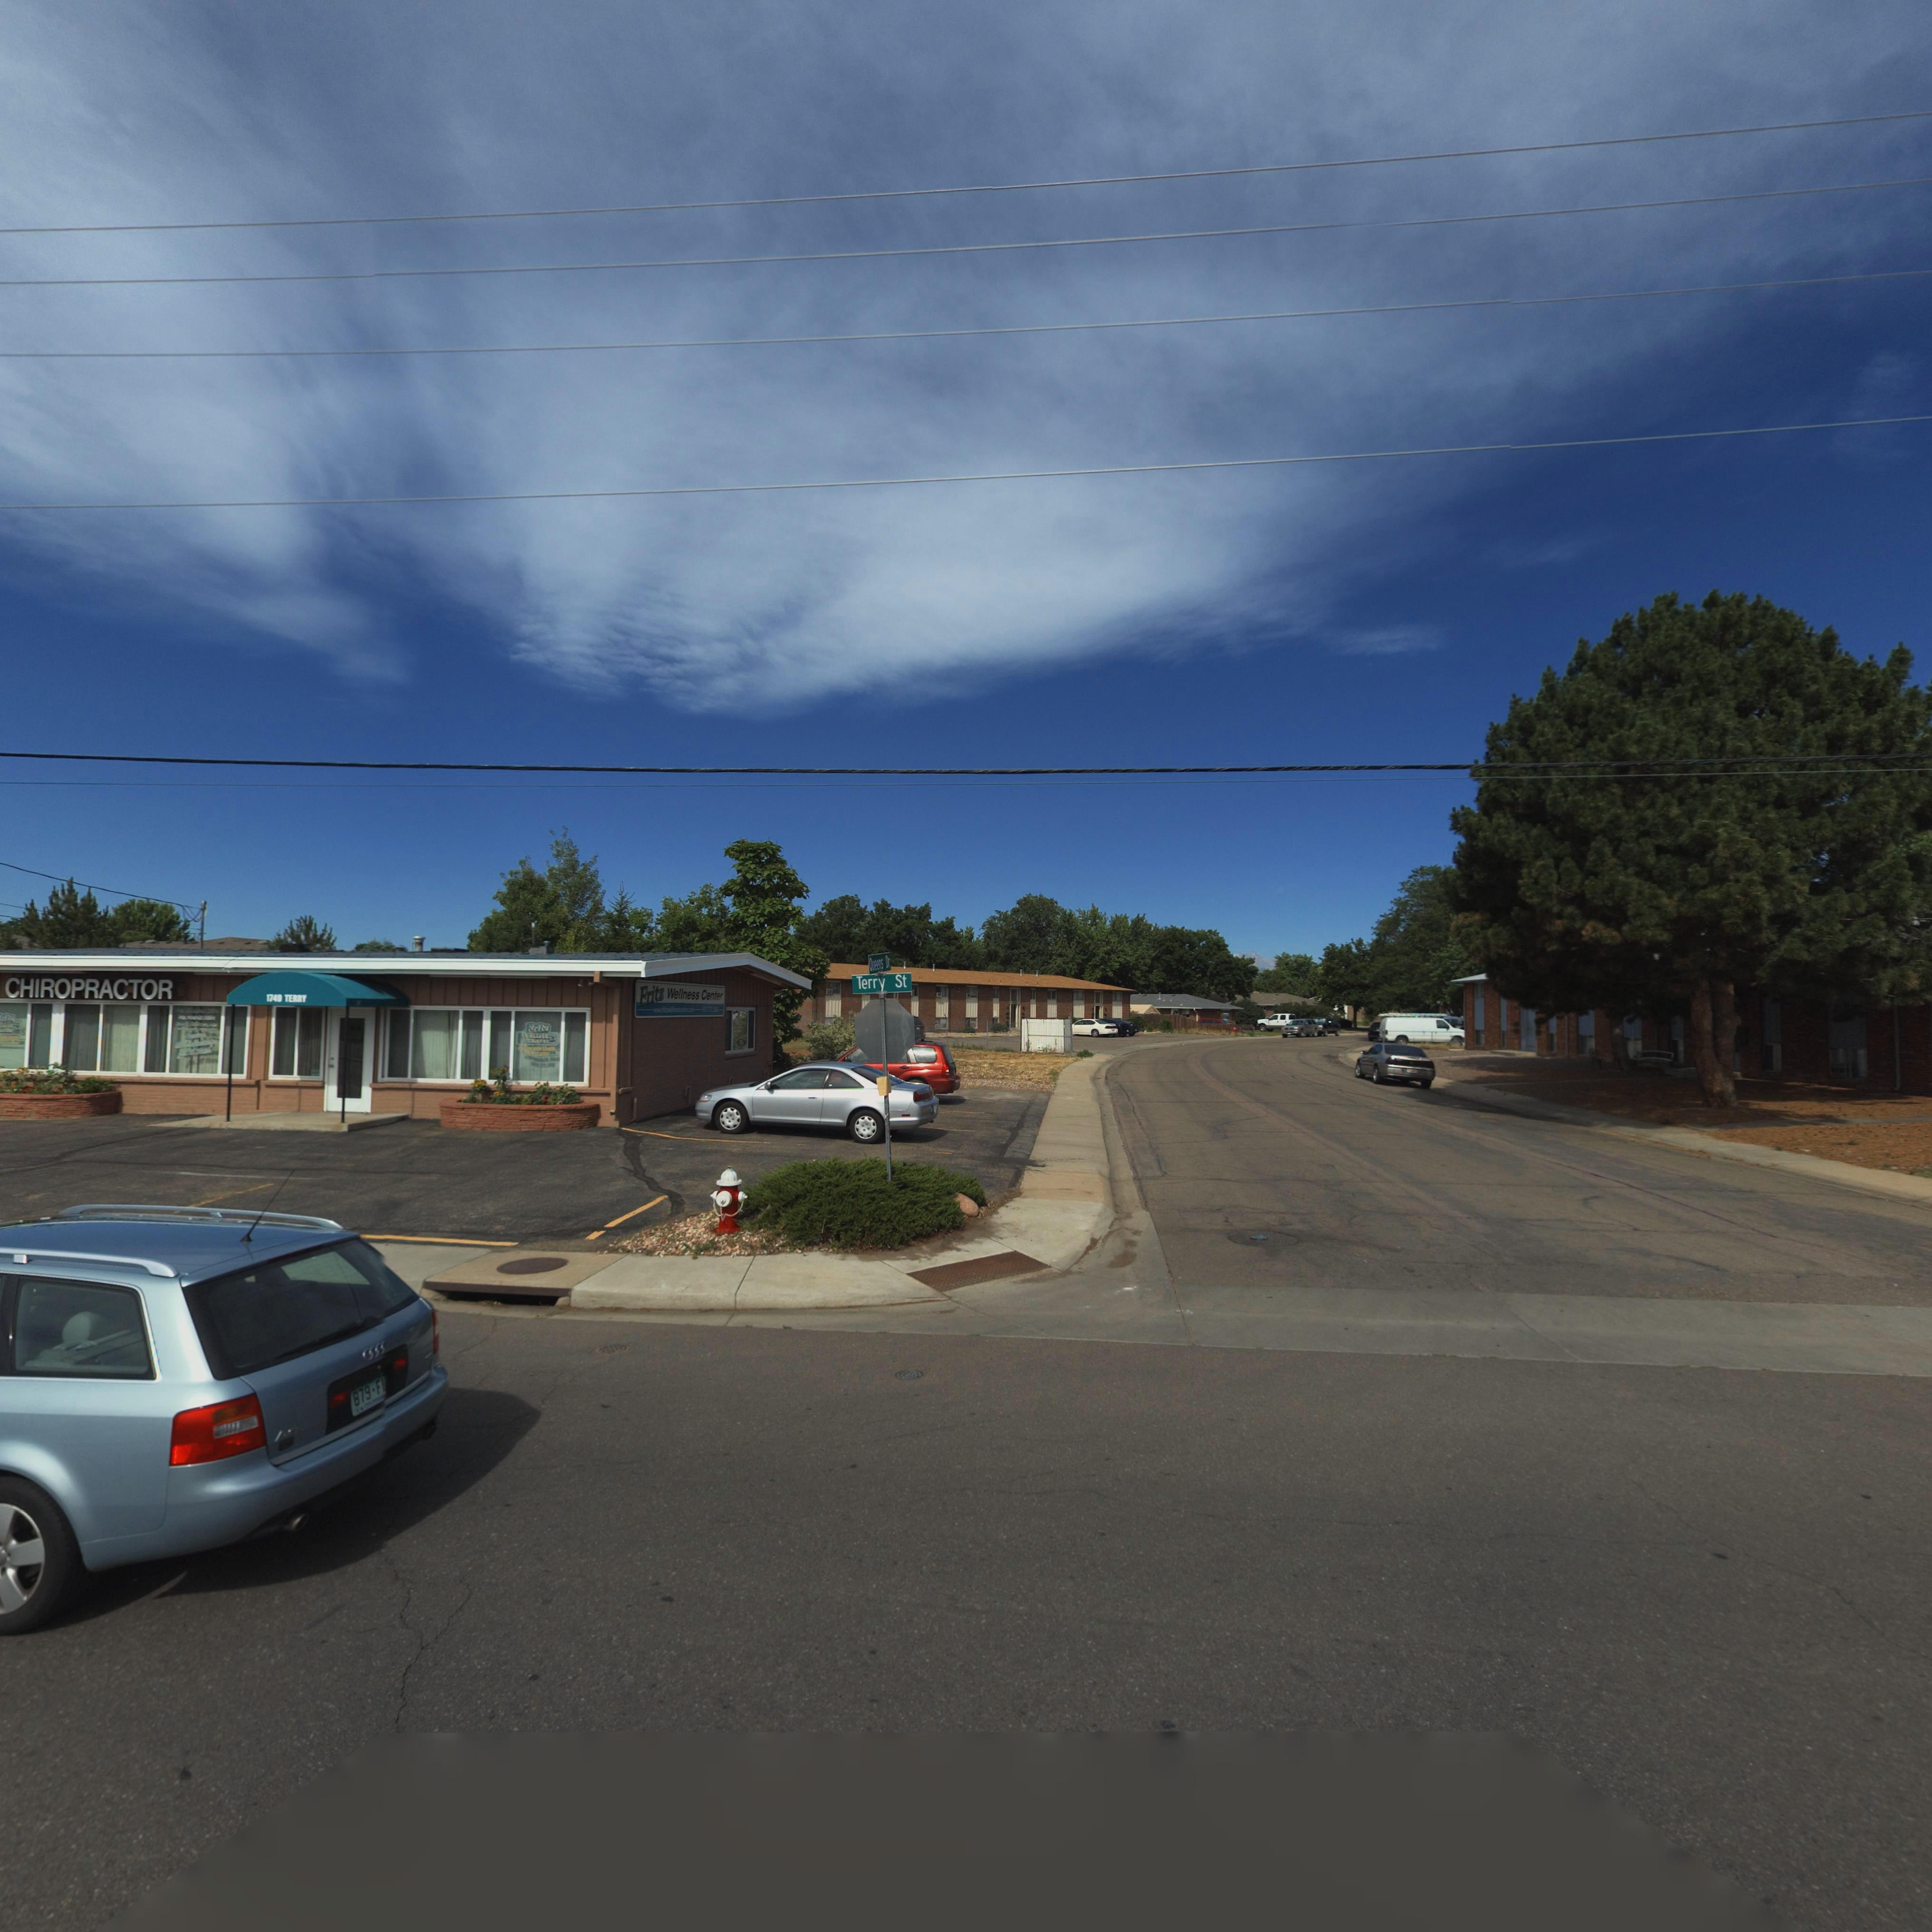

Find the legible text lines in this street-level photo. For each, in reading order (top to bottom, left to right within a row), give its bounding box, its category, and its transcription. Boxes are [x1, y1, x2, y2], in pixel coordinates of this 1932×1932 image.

[869, 955, 890, 972] StreetName: Queens Dr
[855, 974, 907, 992] StreetName: Terry St
[266, 994, 282, 1003] StreetNumber: 1749
[283, 994, 307, 1003] StreetName: TERRY
[637, 984, 724, 1006] BusinessName: Fritz Wellness Center
[525, 1023, 550, 1033] BusinessName: Fritz
[519, 1032, 556, 1041] BusinessName: WELLN*SS
[527, 1038, 550, 1044] StreetName: C****R